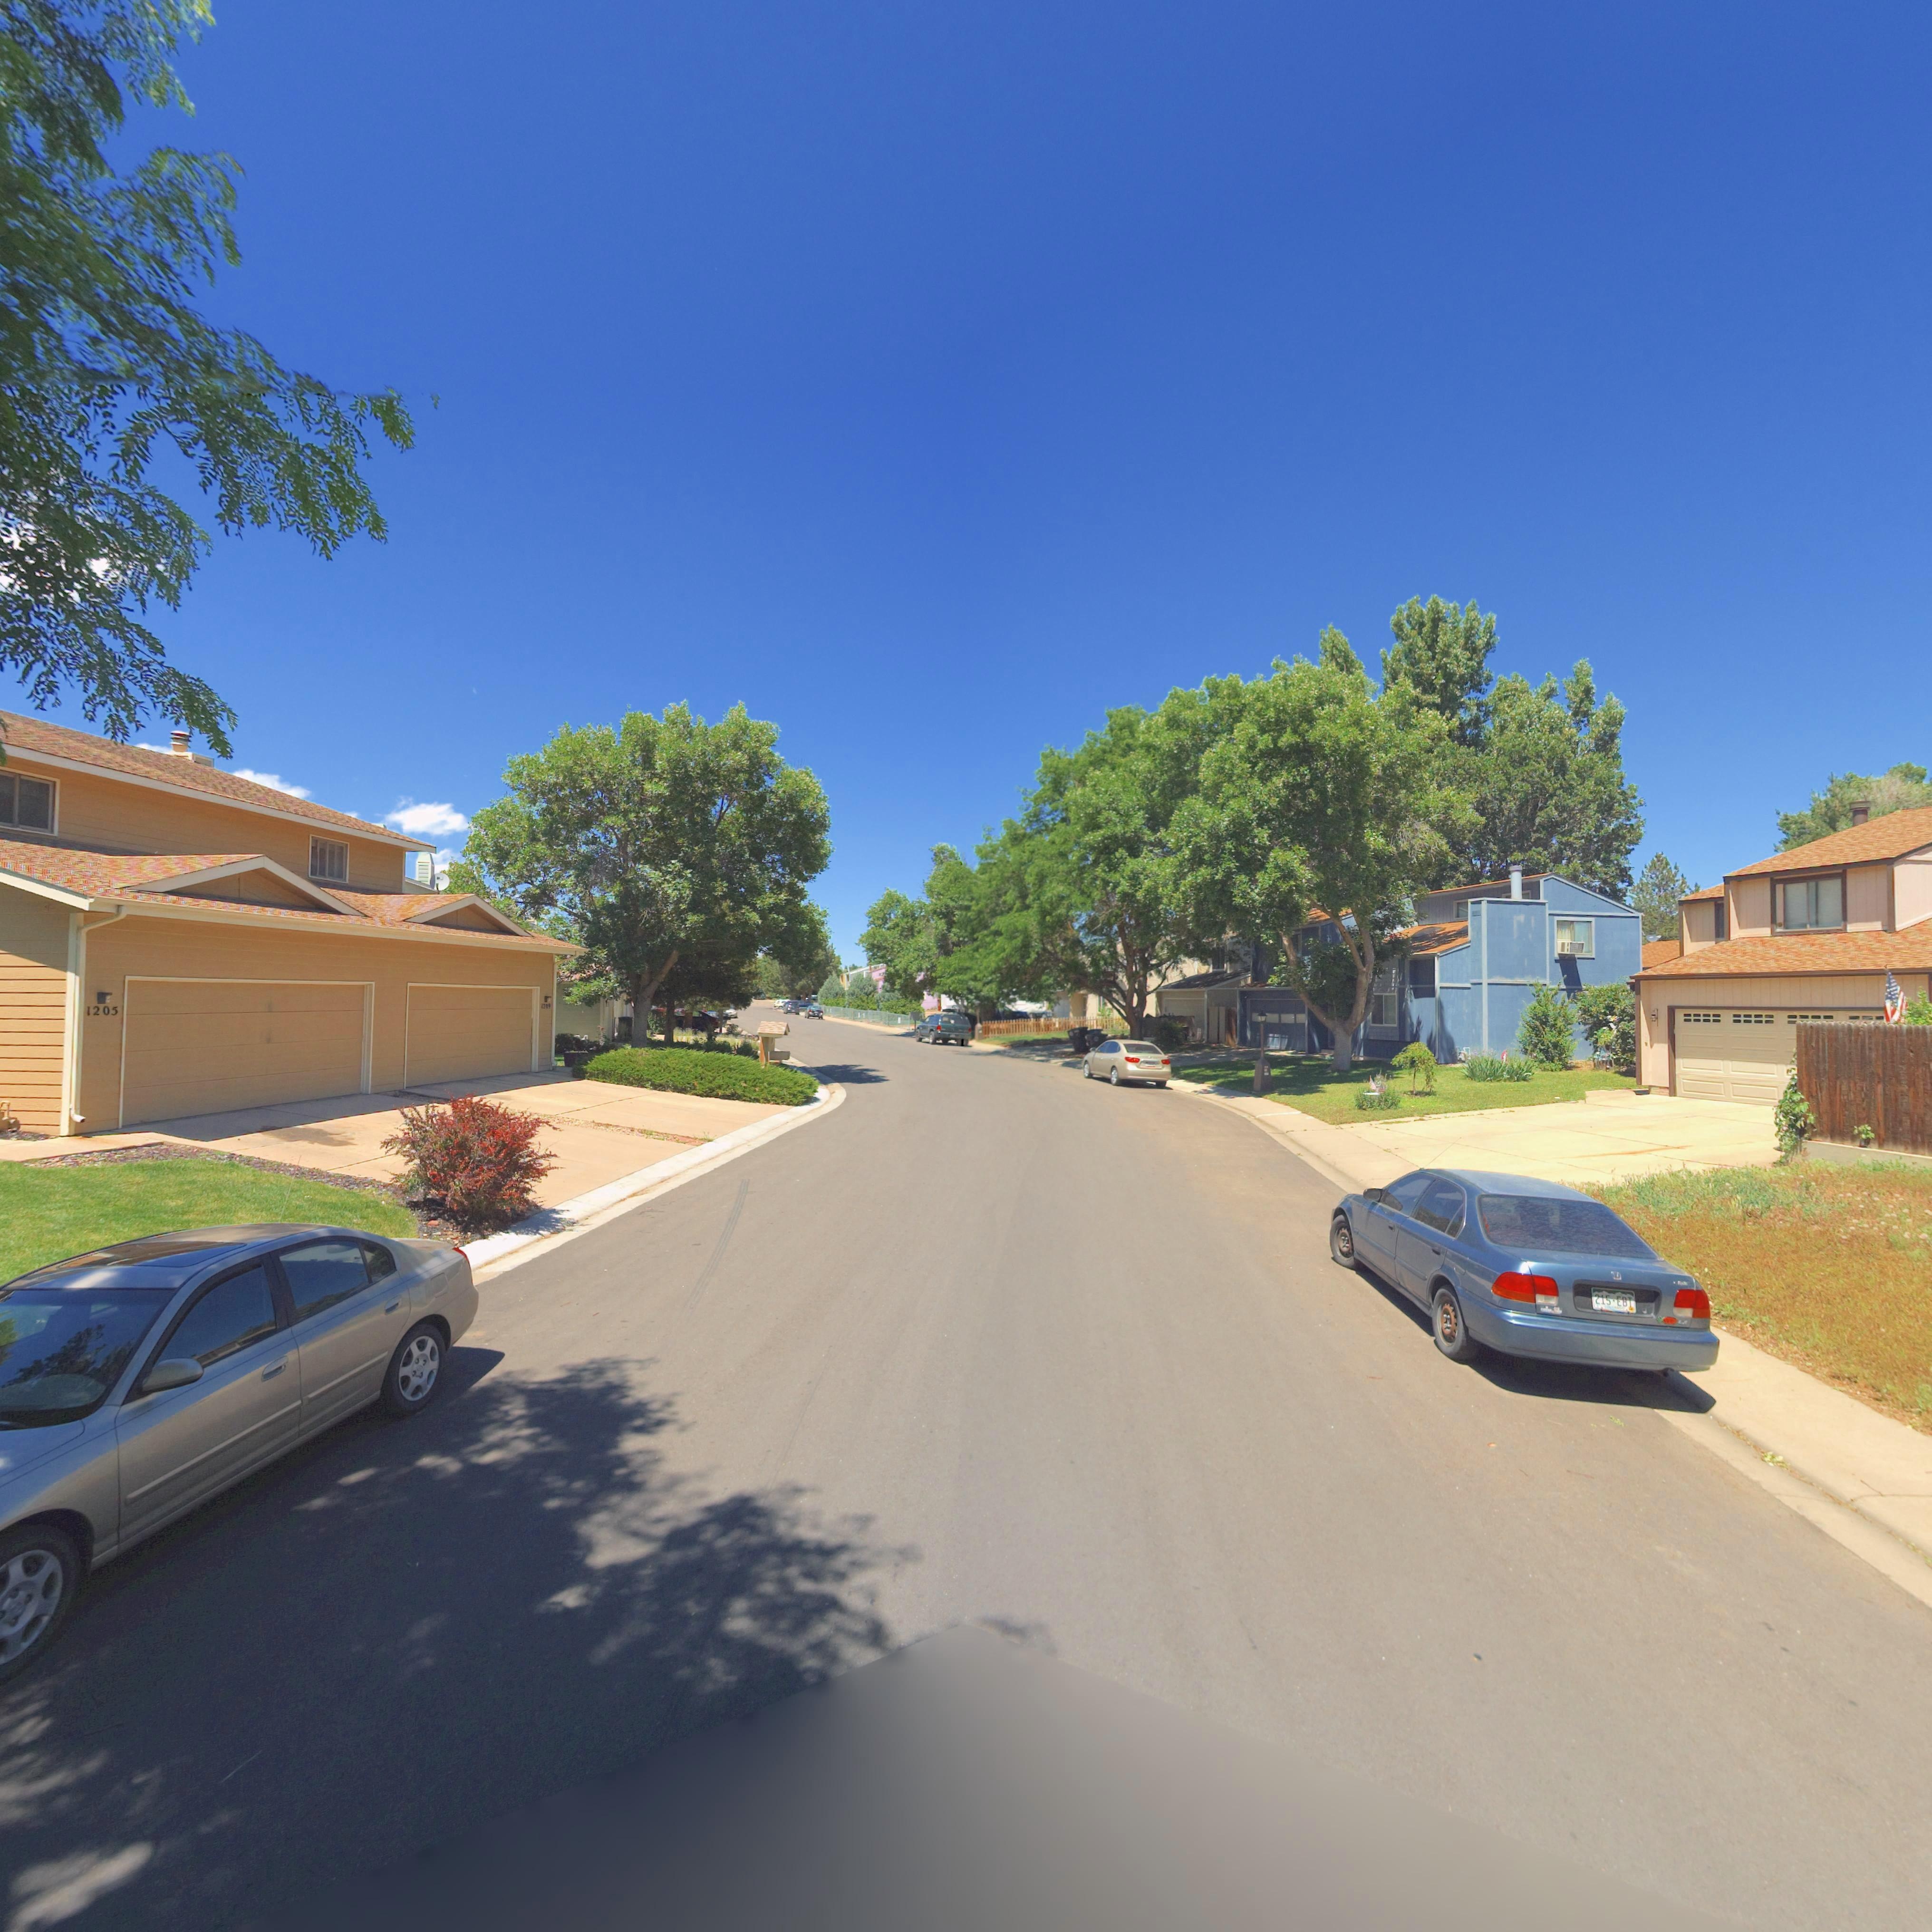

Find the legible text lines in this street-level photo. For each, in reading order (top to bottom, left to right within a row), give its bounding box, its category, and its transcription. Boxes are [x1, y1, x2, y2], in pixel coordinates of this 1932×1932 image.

[86, 1005, 119, 1016] StreetNumber: 1205
[541, 1003, 551, 1009] StreetNumber: 1209